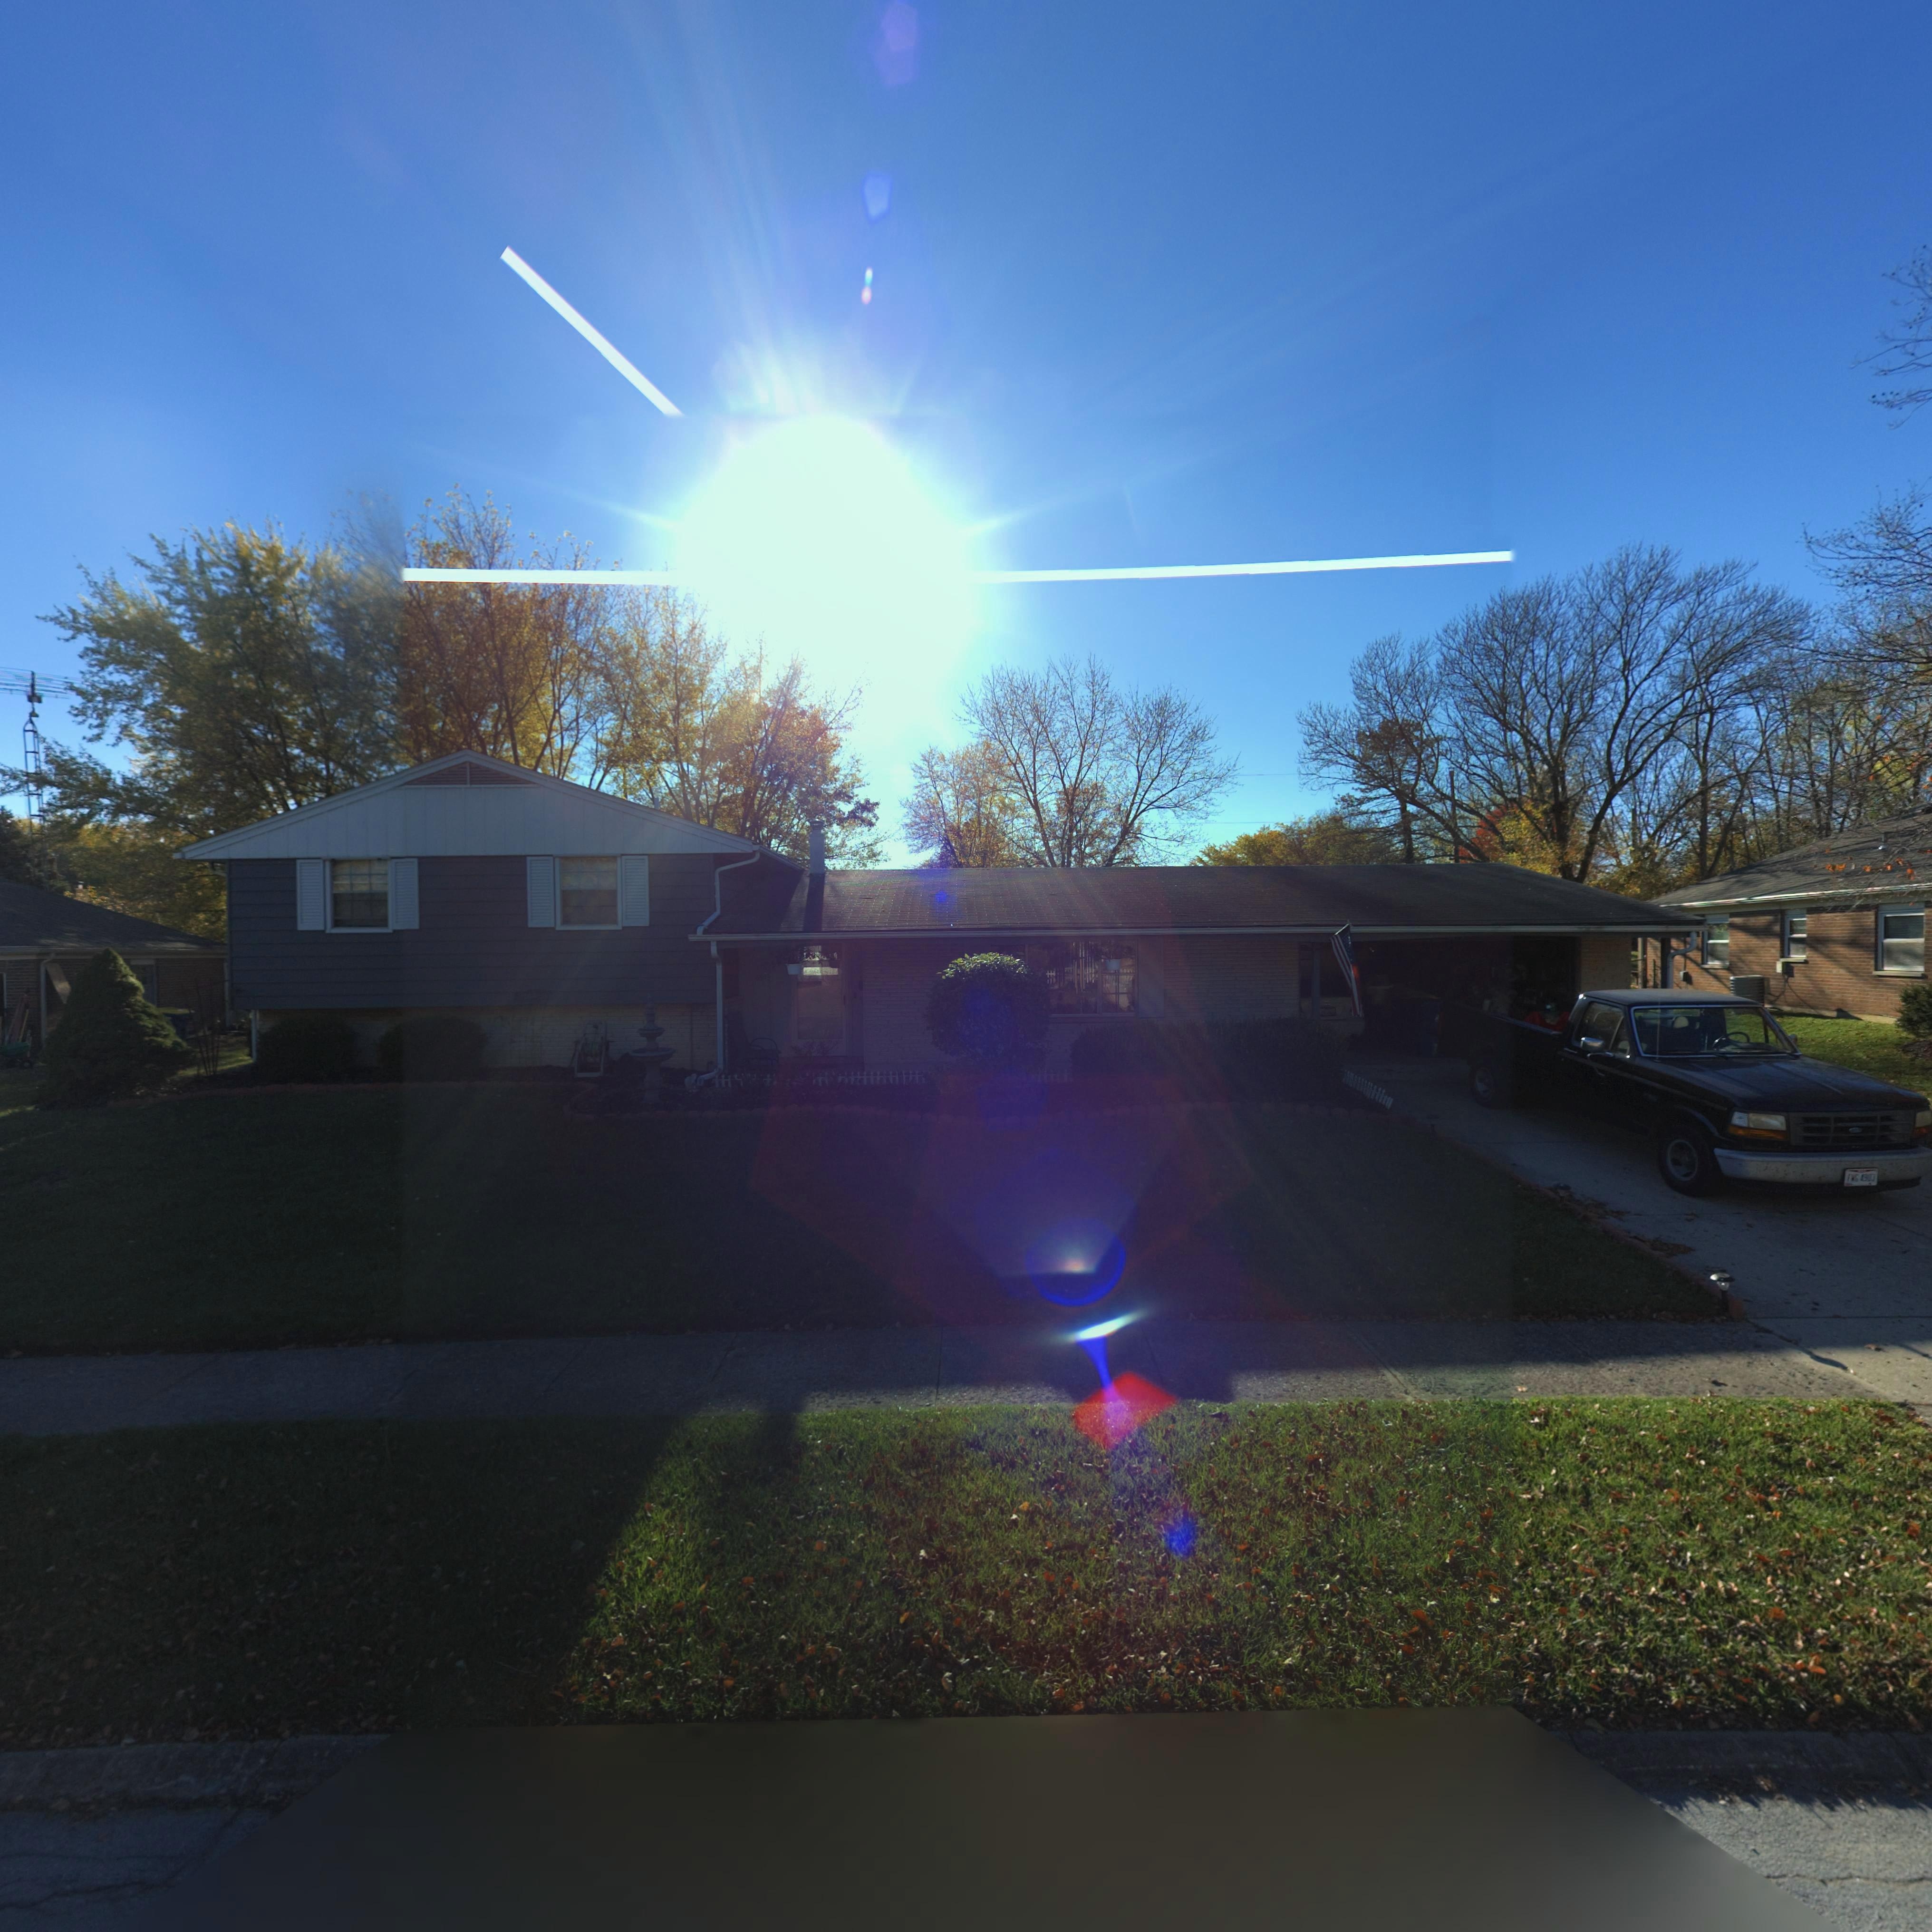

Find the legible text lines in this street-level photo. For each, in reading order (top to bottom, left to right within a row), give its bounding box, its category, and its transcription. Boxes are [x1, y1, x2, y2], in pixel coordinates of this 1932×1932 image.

[755, 974, 771, 981] StreetNumber: 6913